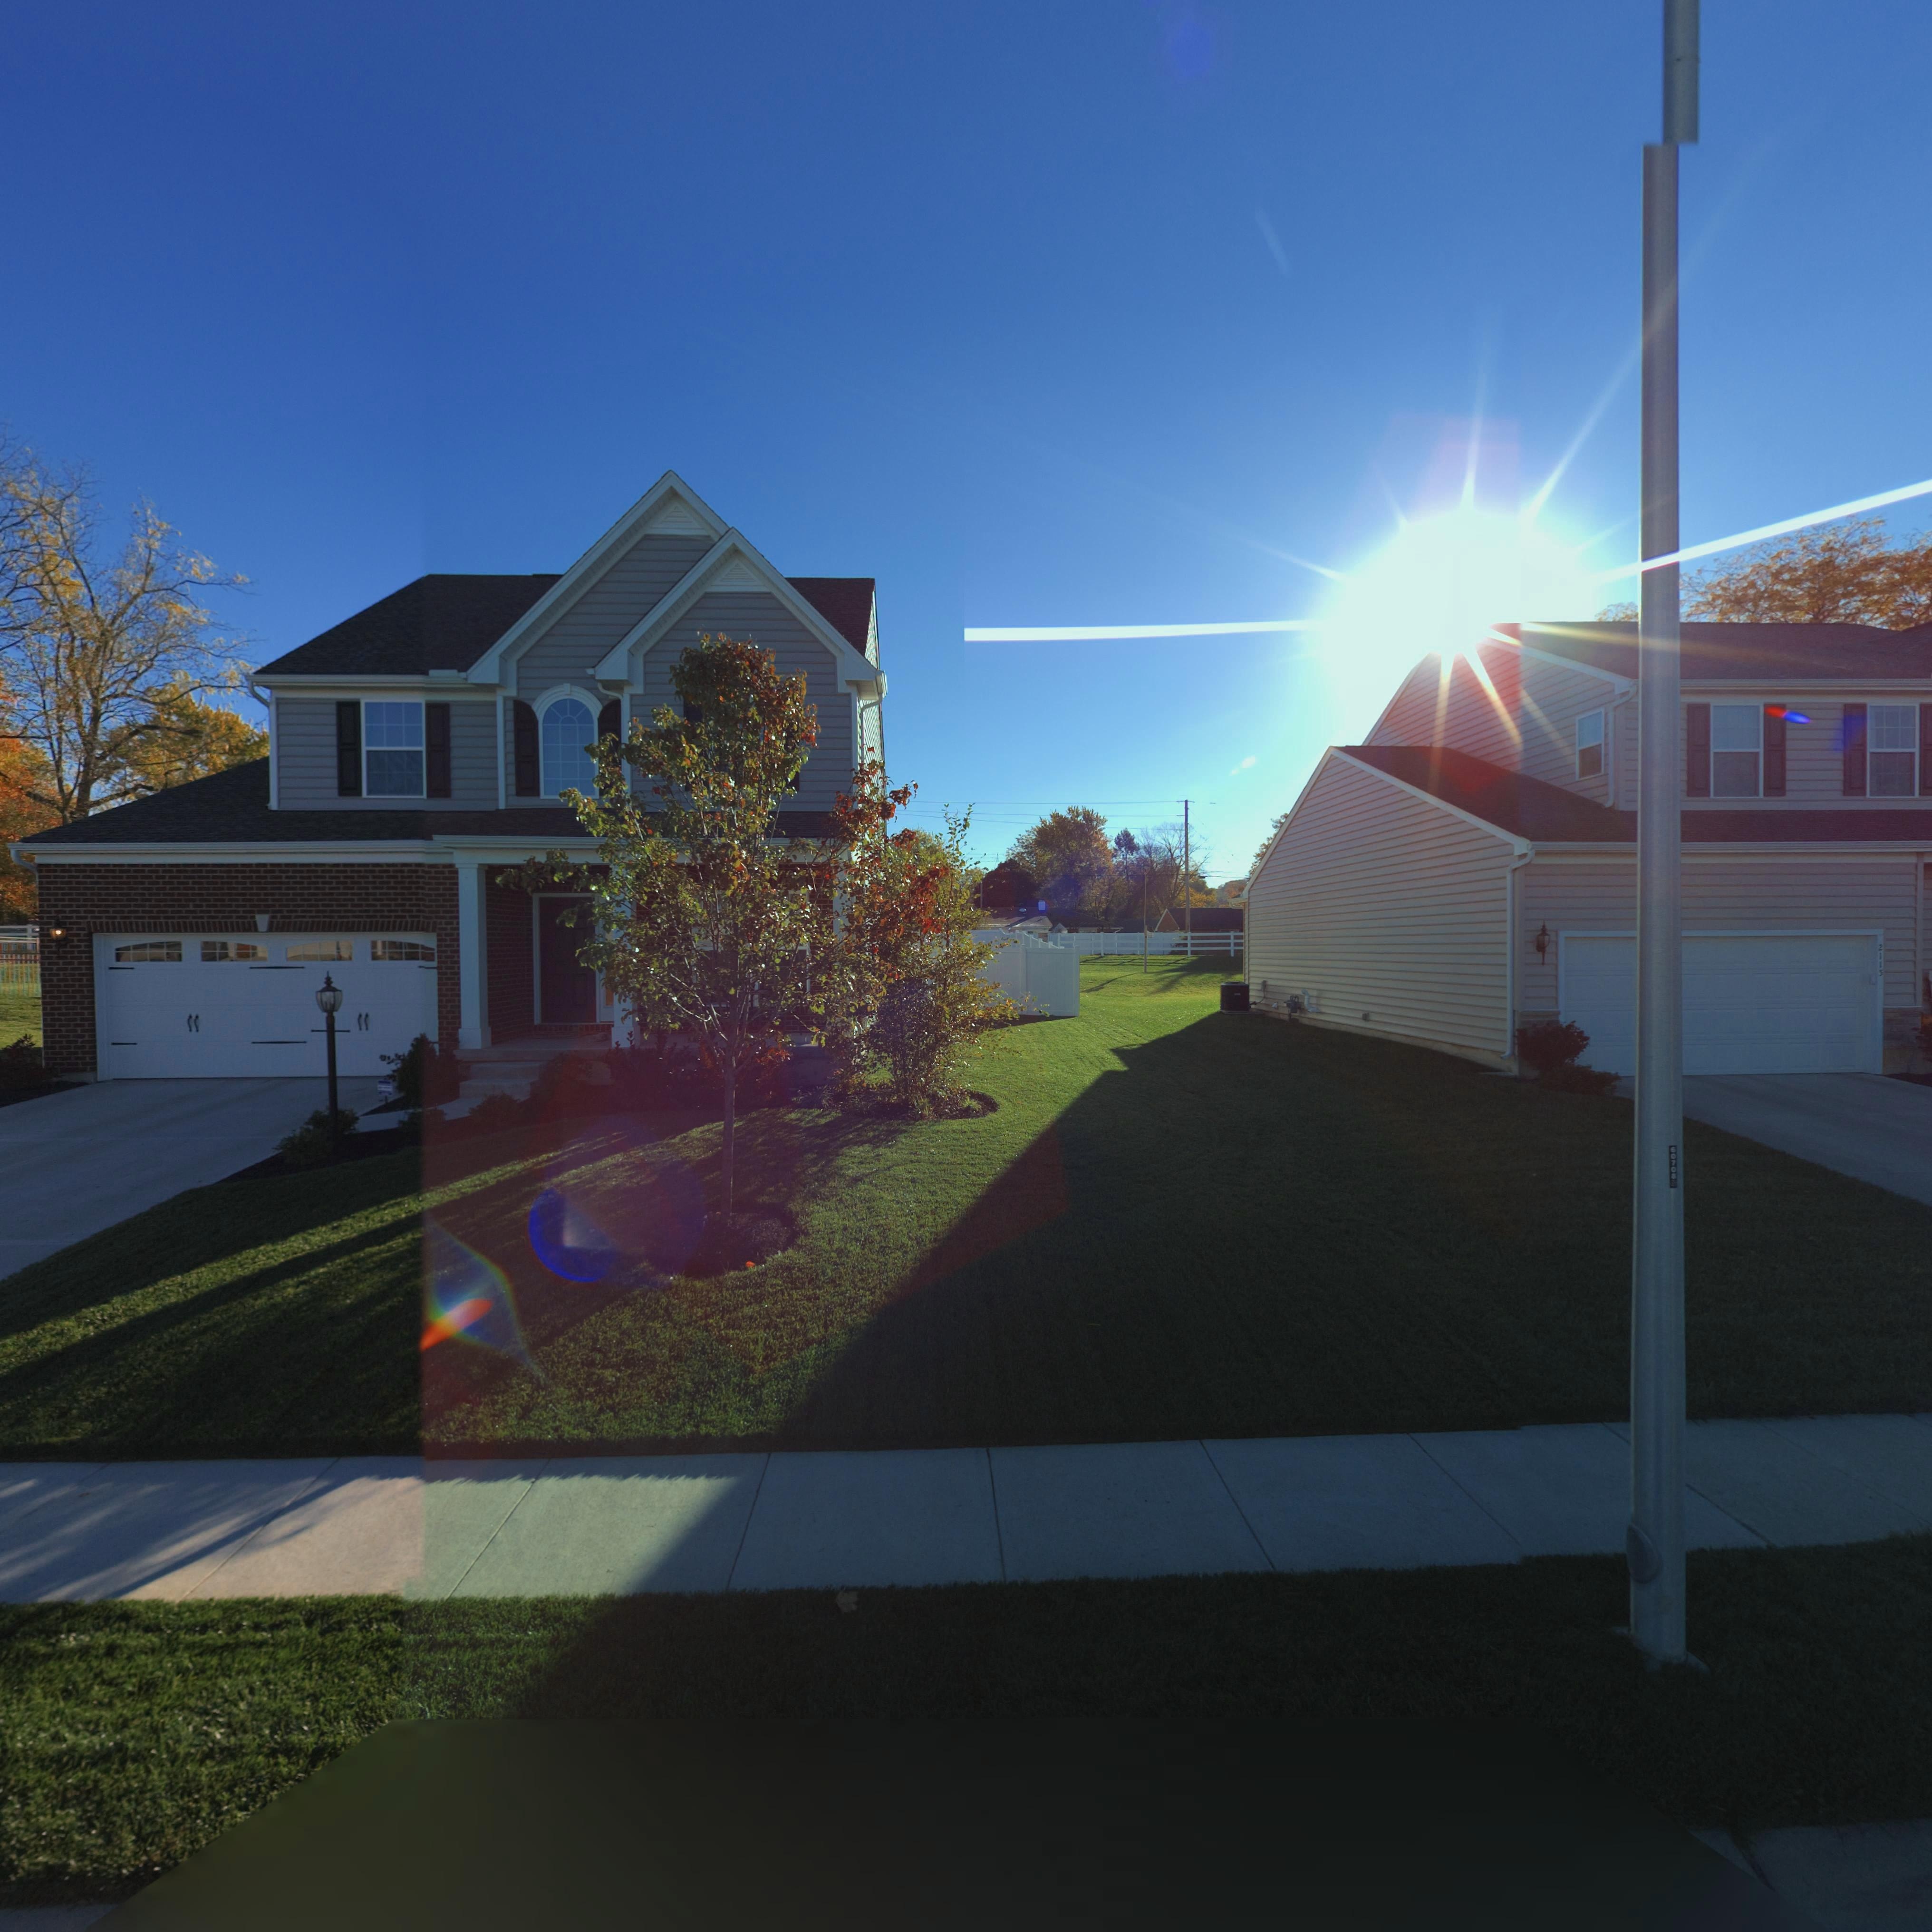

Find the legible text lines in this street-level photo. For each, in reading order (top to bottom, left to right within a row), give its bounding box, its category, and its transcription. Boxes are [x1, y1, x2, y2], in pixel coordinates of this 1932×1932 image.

[1877, 943, 1885, 978] StreetNumber: 2115